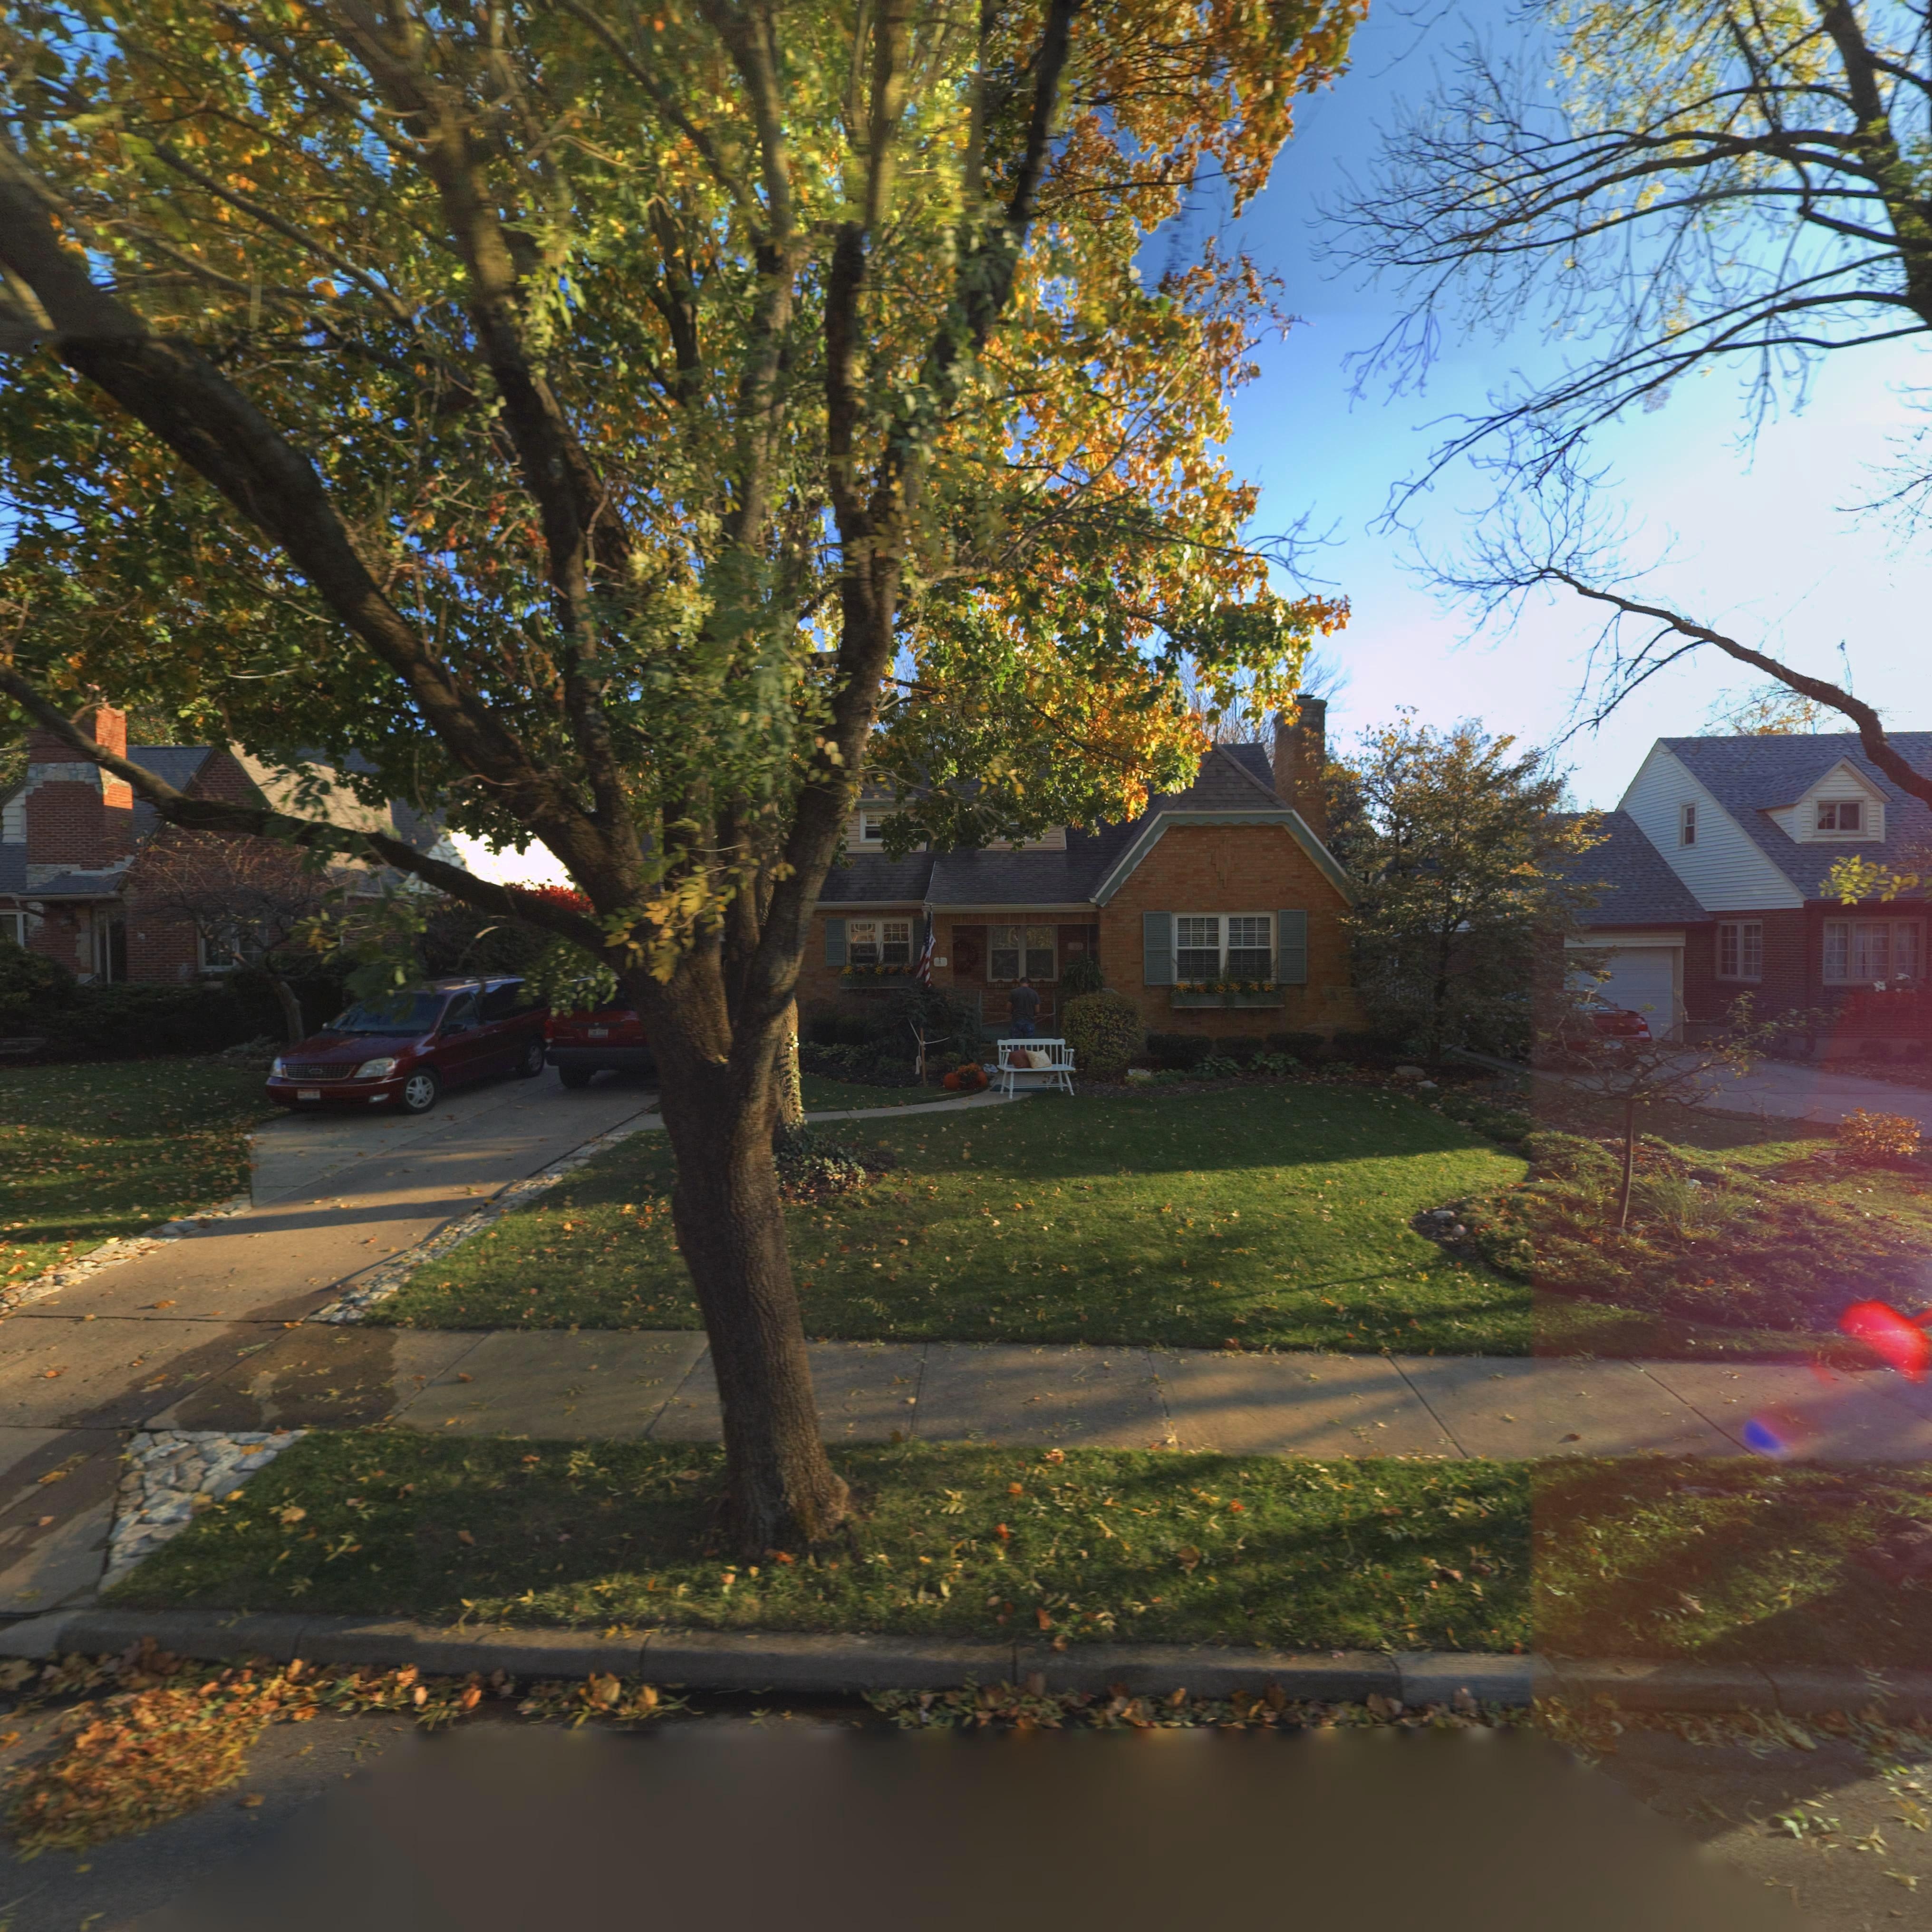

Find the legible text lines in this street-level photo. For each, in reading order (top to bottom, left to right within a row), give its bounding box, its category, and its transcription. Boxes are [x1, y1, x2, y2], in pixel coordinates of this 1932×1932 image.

[1069, 943, 1082, 949] StreetNumber: **0